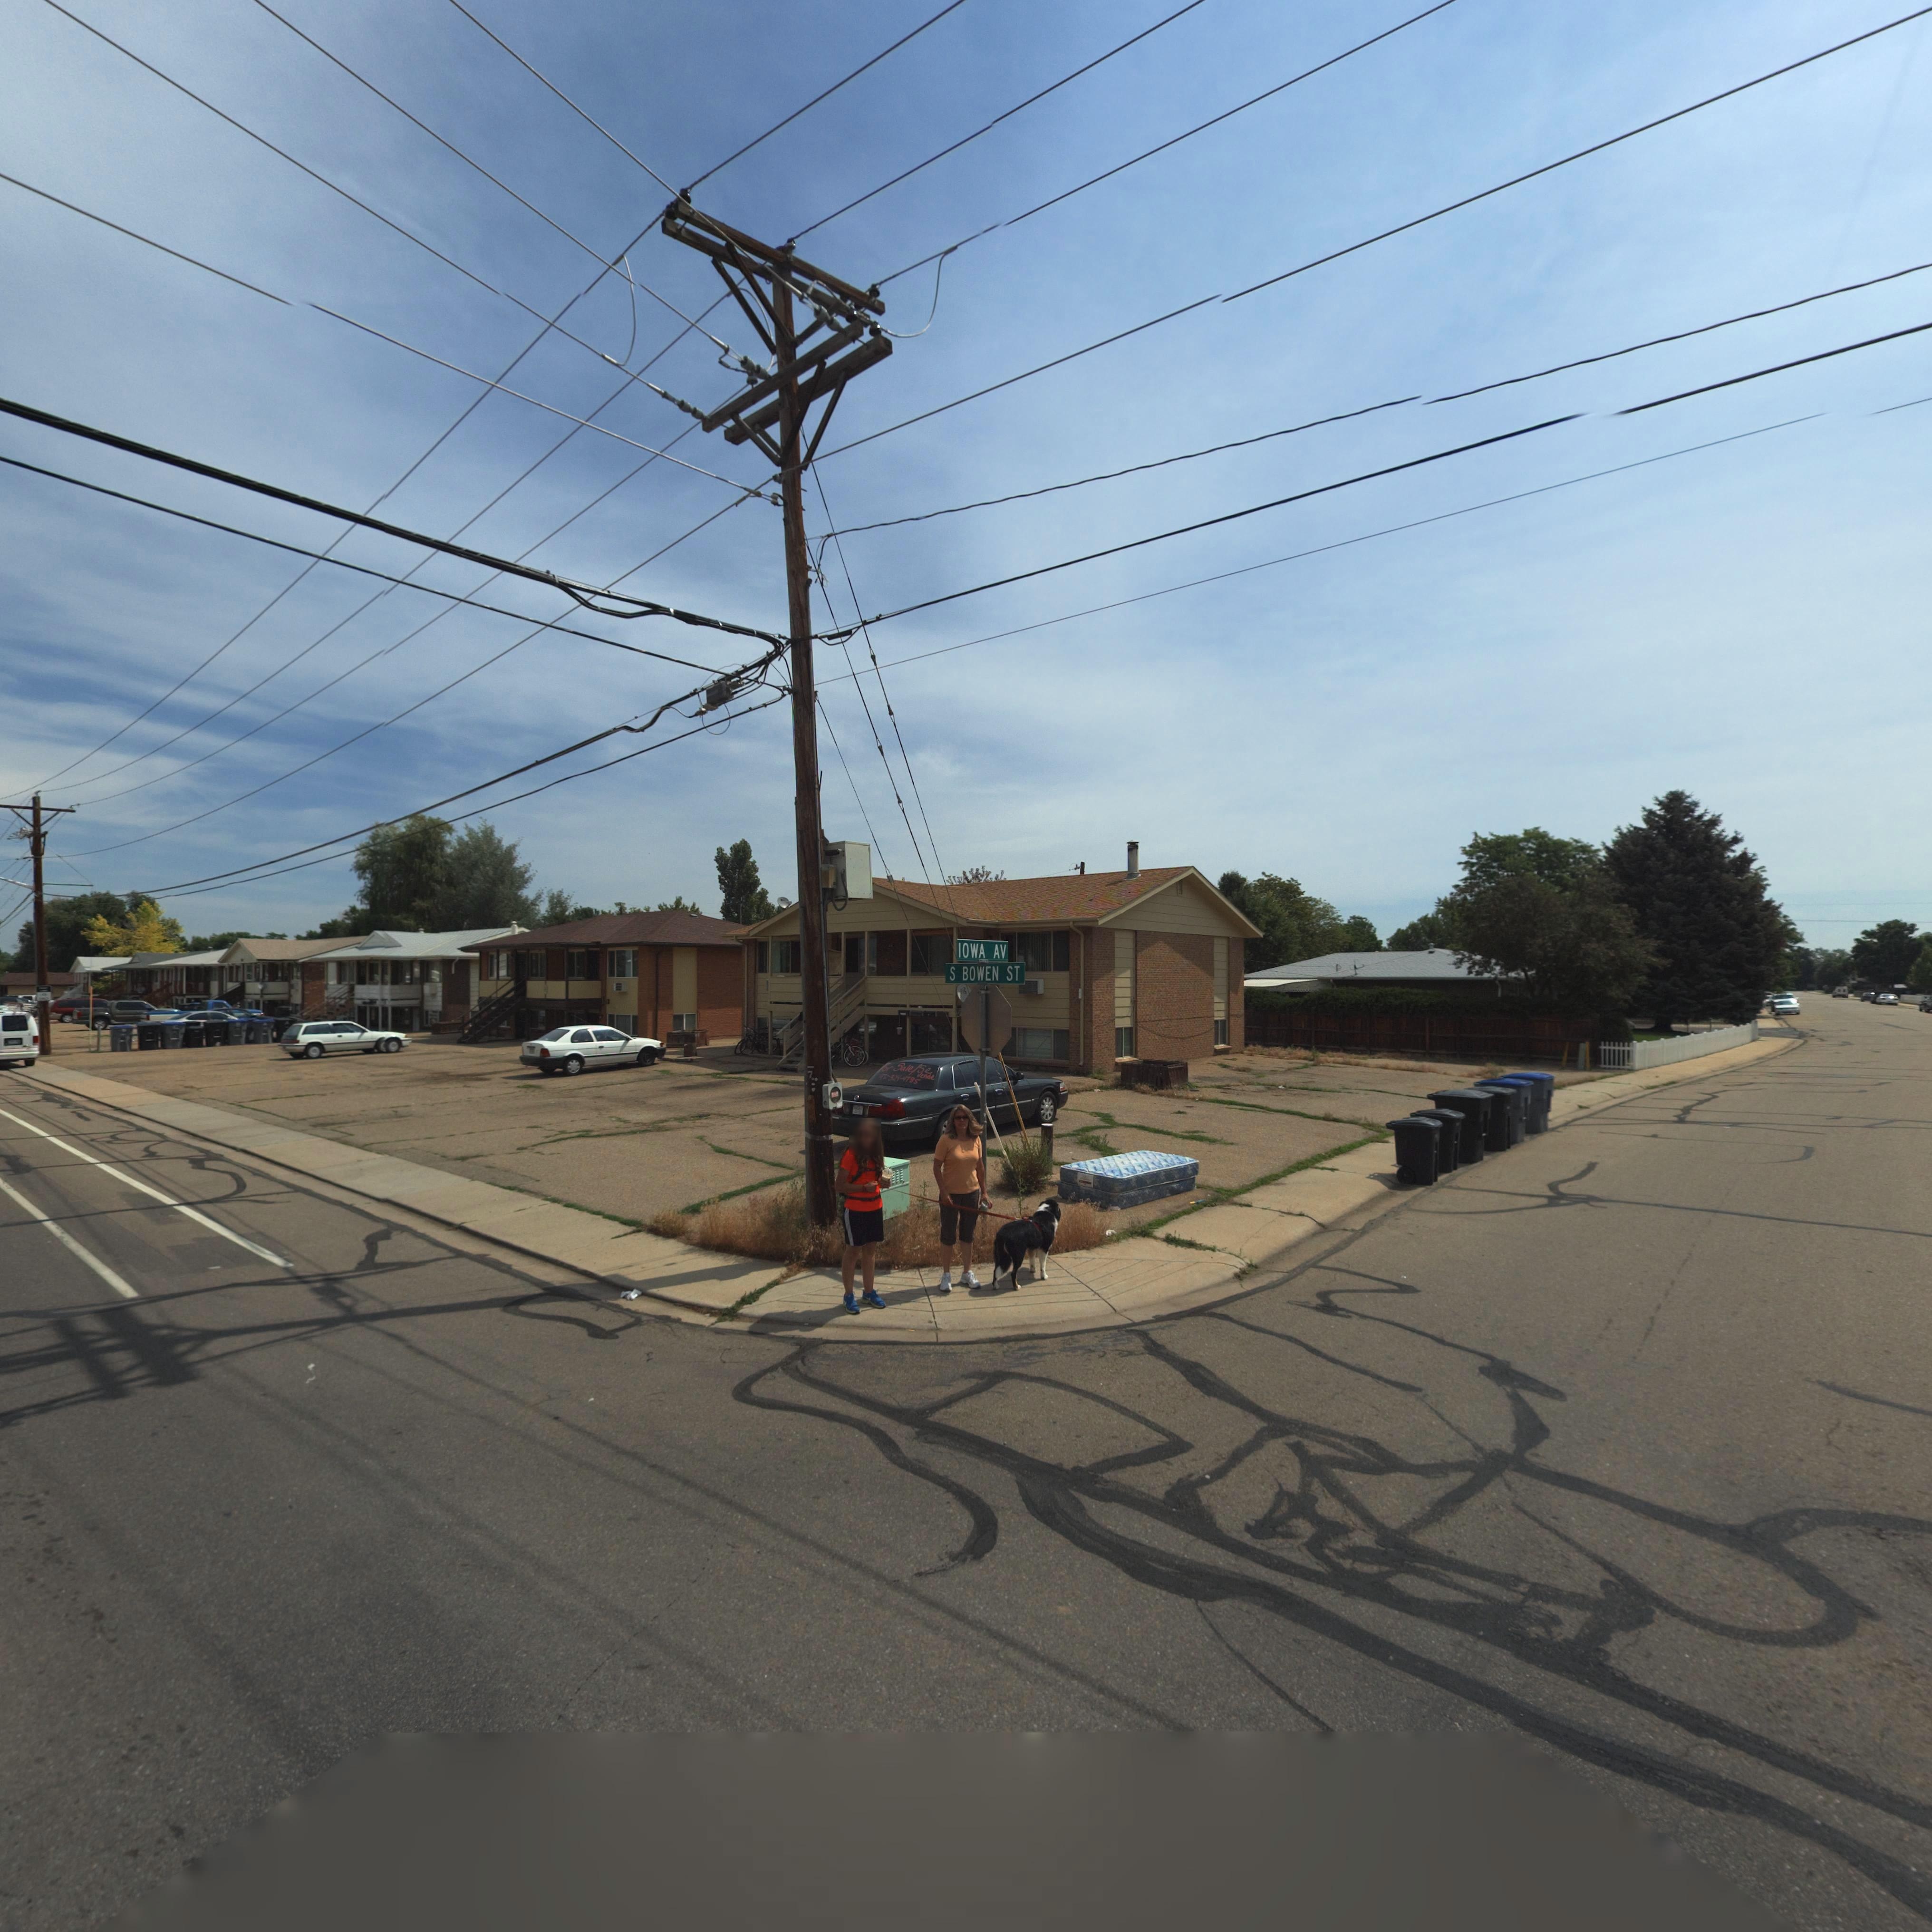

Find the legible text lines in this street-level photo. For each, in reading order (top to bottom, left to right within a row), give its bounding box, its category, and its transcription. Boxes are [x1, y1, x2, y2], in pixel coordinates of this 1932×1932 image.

[958, 942, 1007, 959] StreetName: IOWA AV
[949, 965, 1020, 981] StreetName: S BOWEN ST